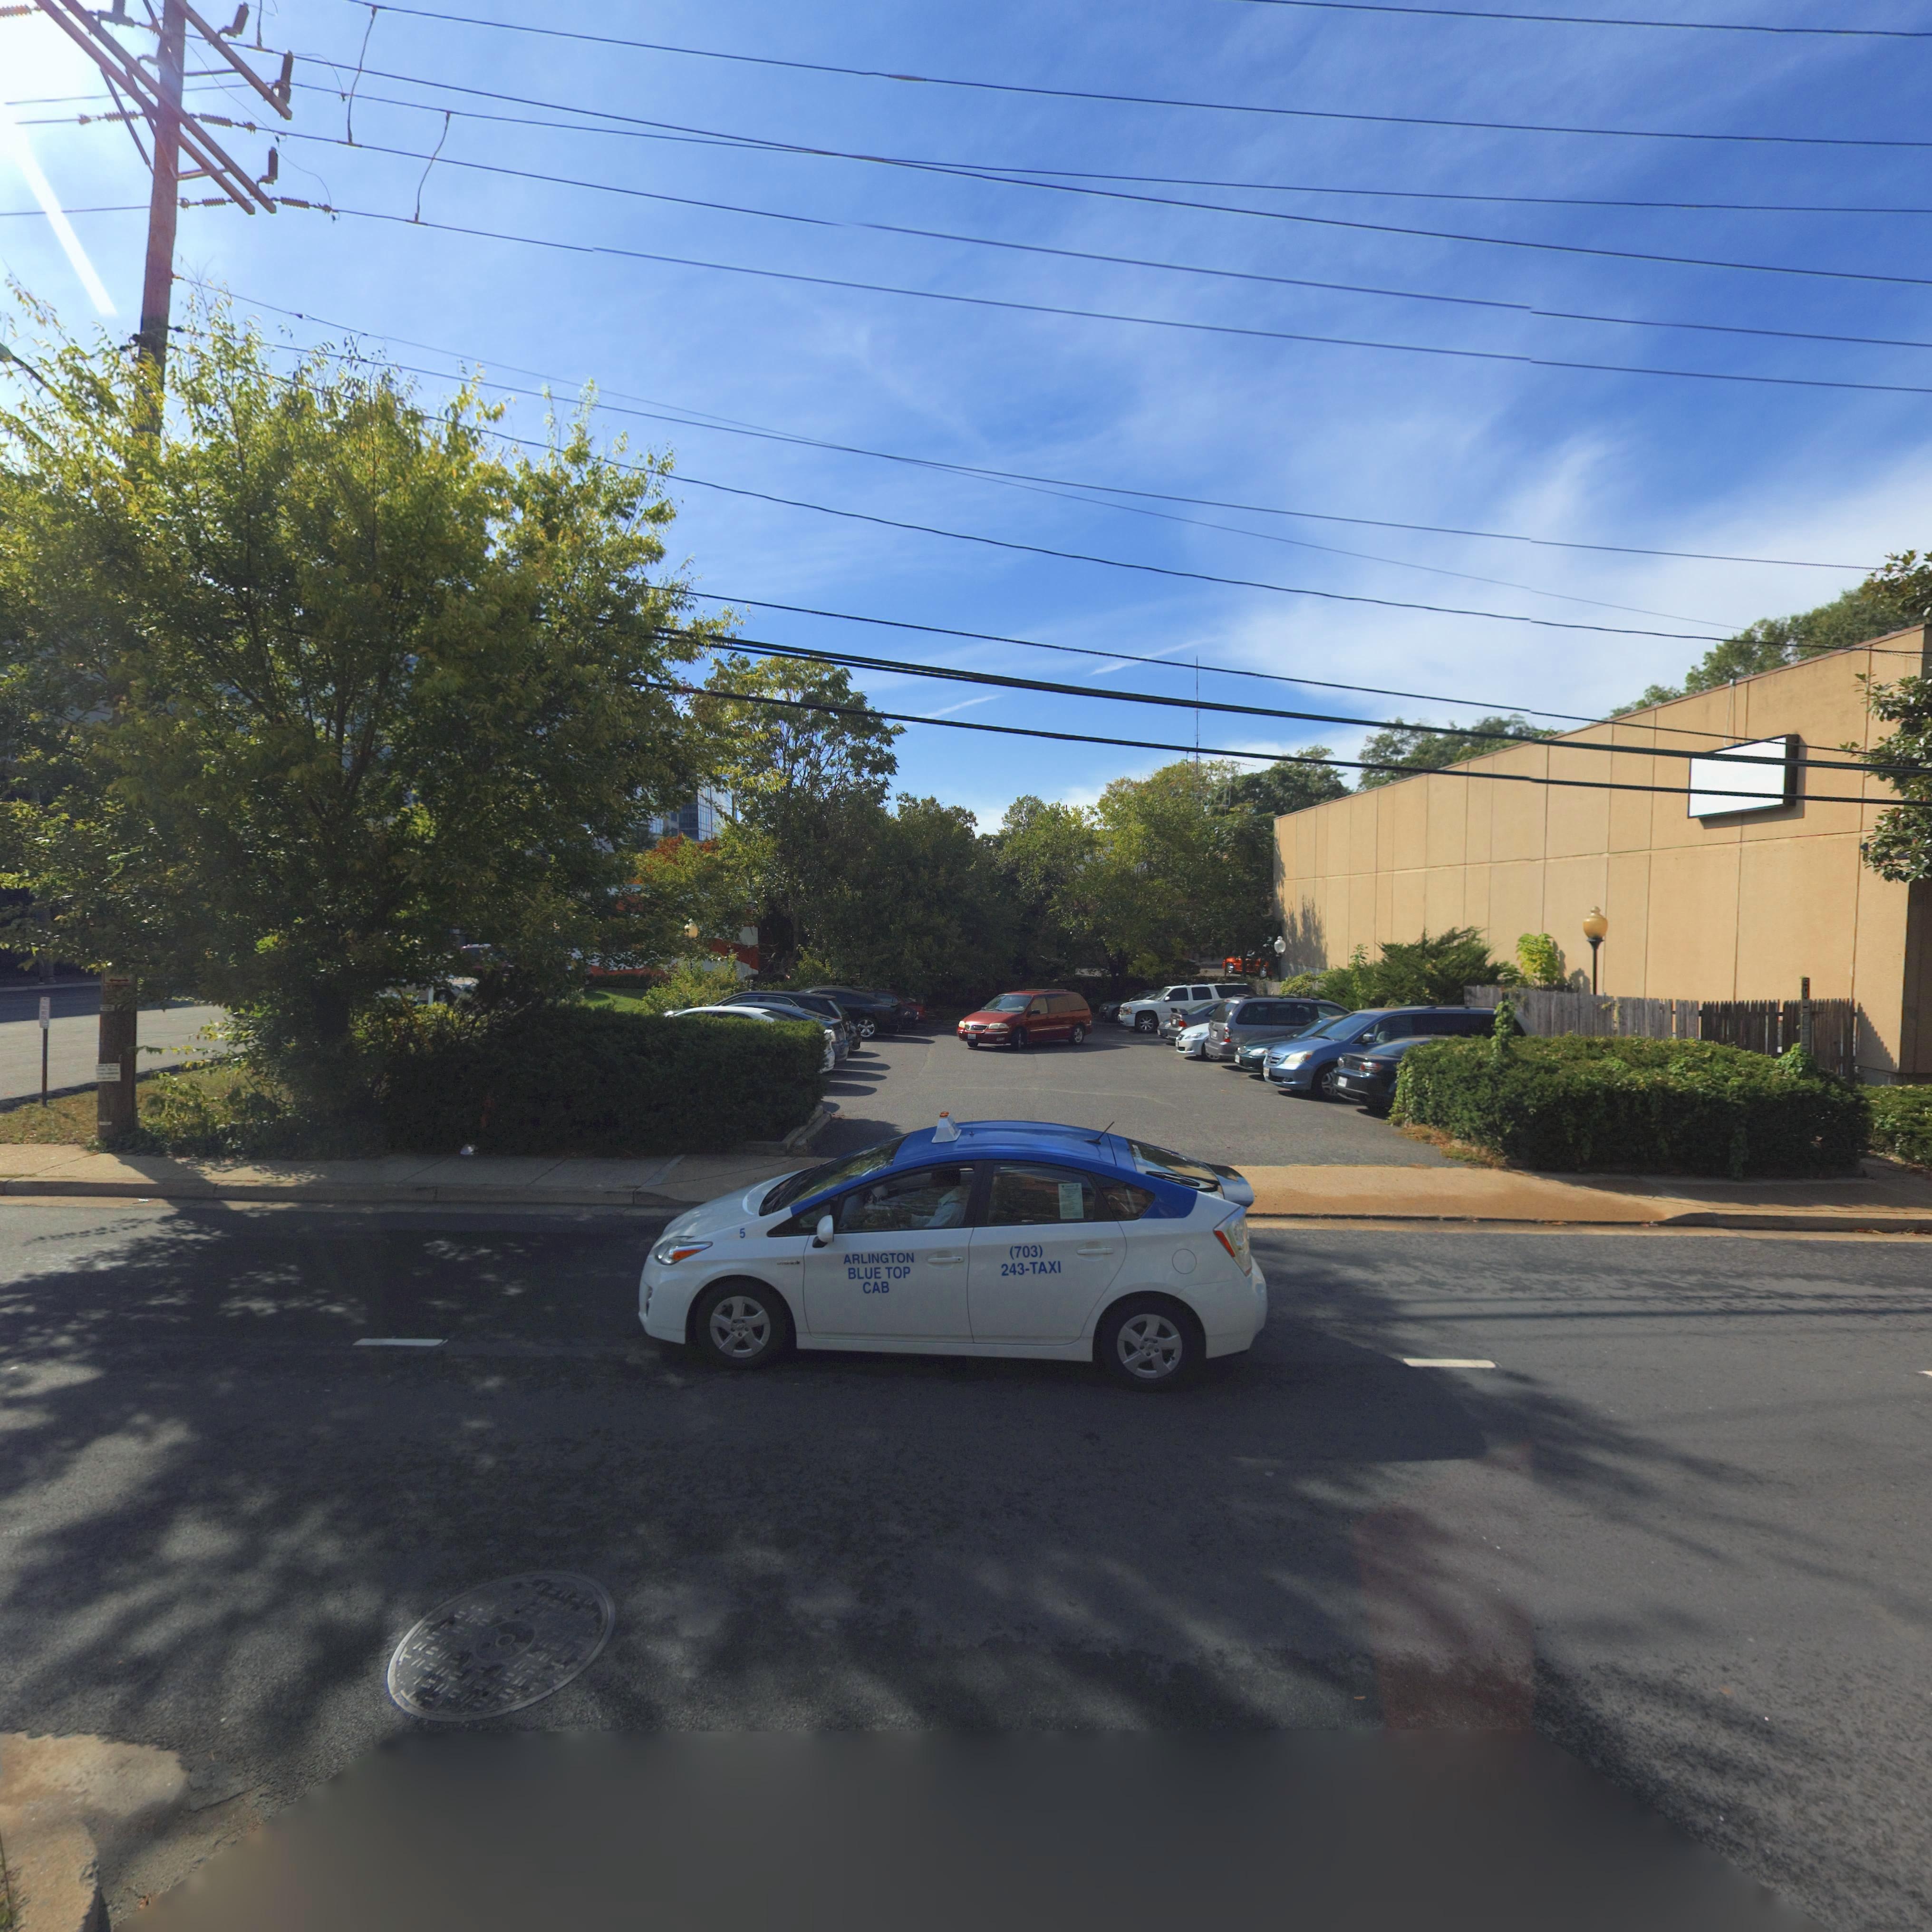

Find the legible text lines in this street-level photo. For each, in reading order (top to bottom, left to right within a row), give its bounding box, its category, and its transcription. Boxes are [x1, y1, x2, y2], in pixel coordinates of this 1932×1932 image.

[739, 1227, 746, 1239] None: 5
[1008, 1243, 1043, 1260] None: (703)
[842, 1252, 915, 1265] None: ARLINGTON
[848, 1266, 912, 1279] None: BLUE TOP
[1001, 1260, 1062, 1276] None: 243-TAXI
[862, 1281, 889, 1294] None: CAB